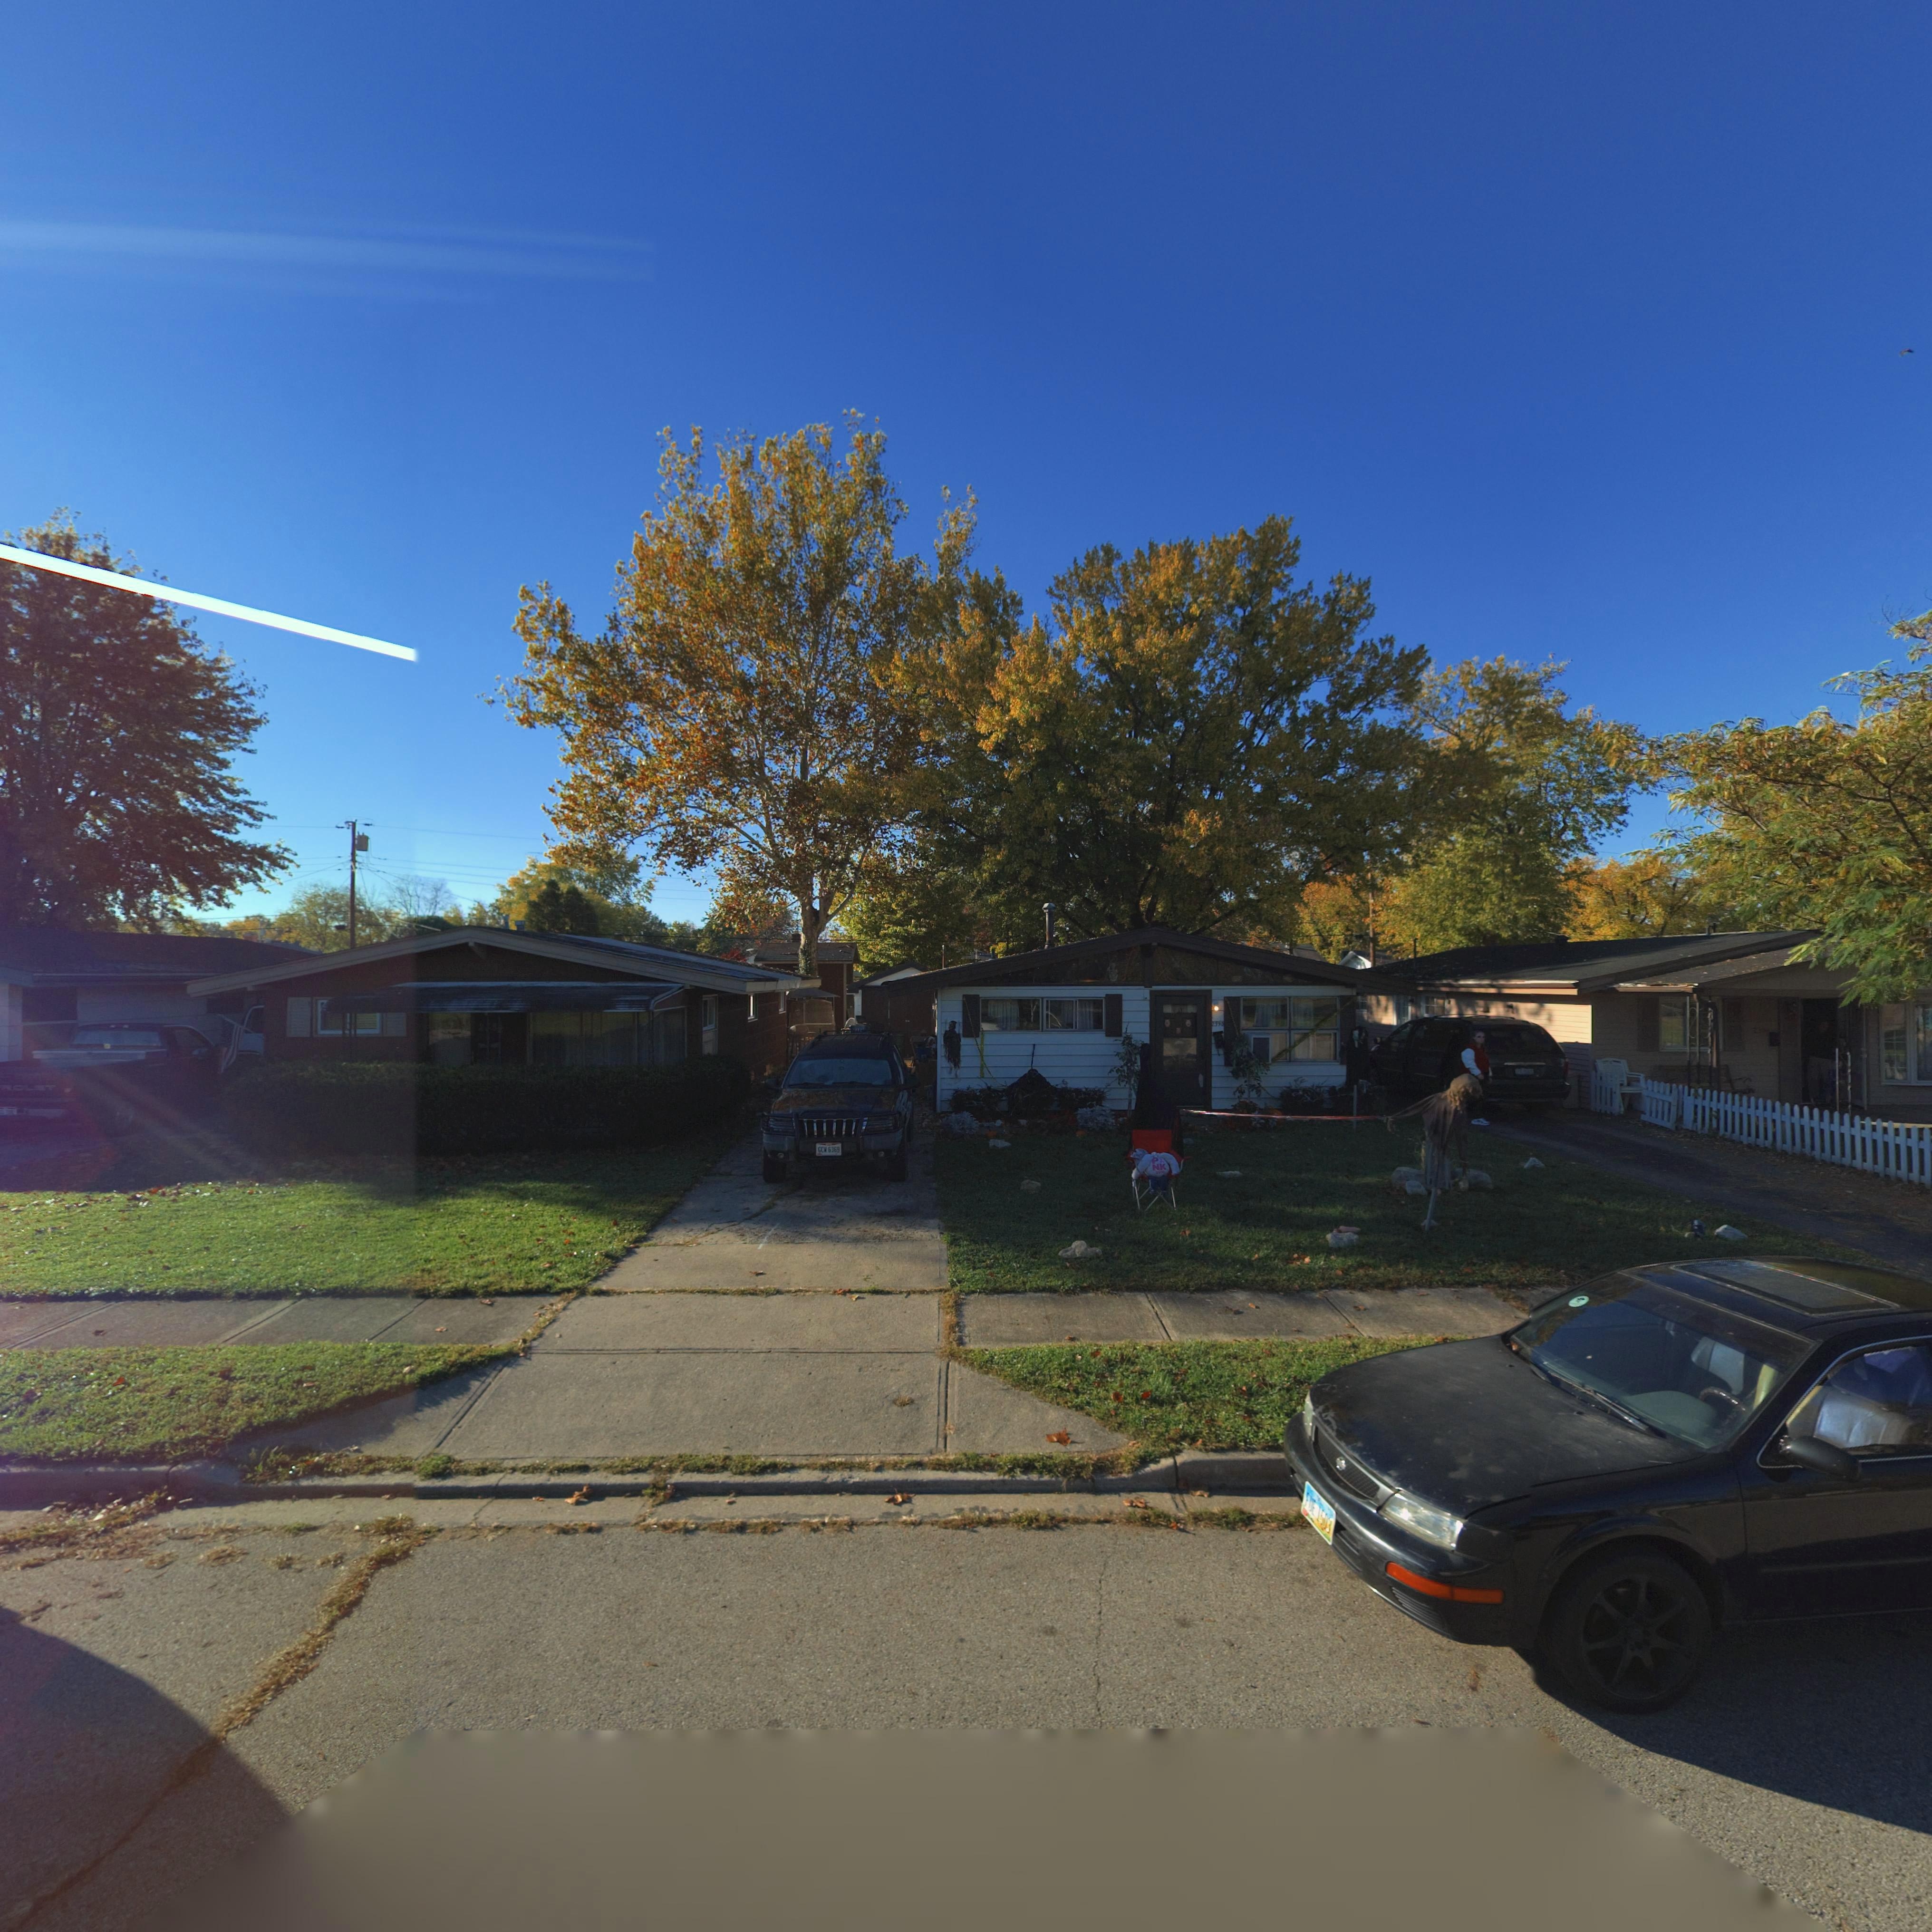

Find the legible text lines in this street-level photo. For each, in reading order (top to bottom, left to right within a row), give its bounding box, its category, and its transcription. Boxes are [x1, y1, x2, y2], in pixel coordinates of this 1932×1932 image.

[1211, 1020, 1224, 1027] StreetNumber: *39*
[1751, 1026, 1758, 1034] StreetNumber: 2